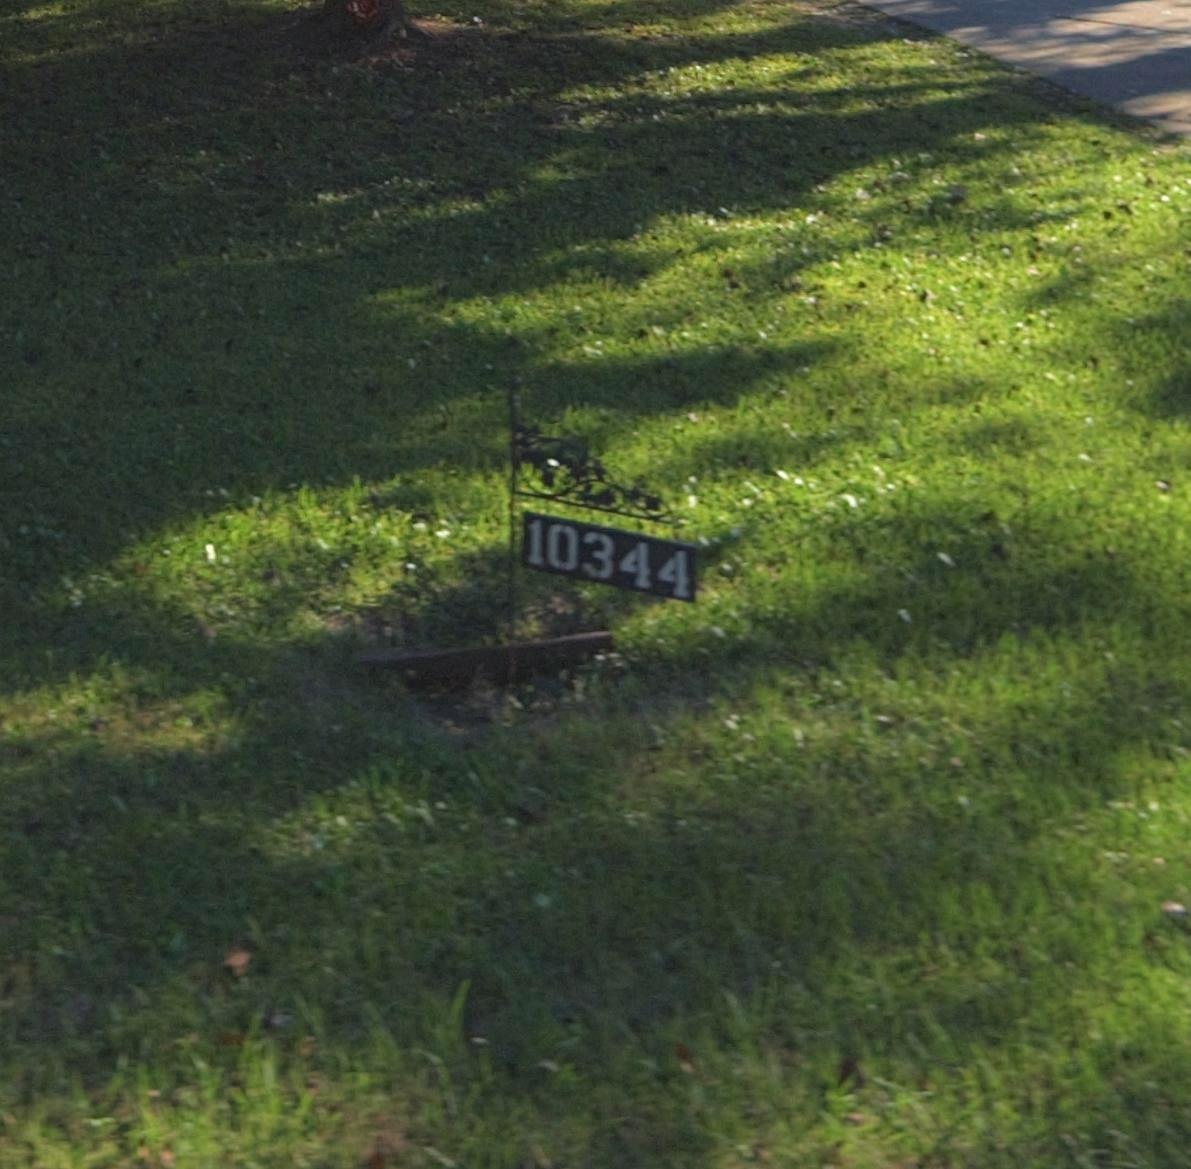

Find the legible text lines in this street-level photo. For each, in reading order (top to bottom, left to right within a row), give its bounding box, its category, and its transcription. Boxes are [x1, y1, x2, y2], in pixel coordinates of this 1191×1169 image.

[524, 516, 696, 604] StreetNumber: 10344